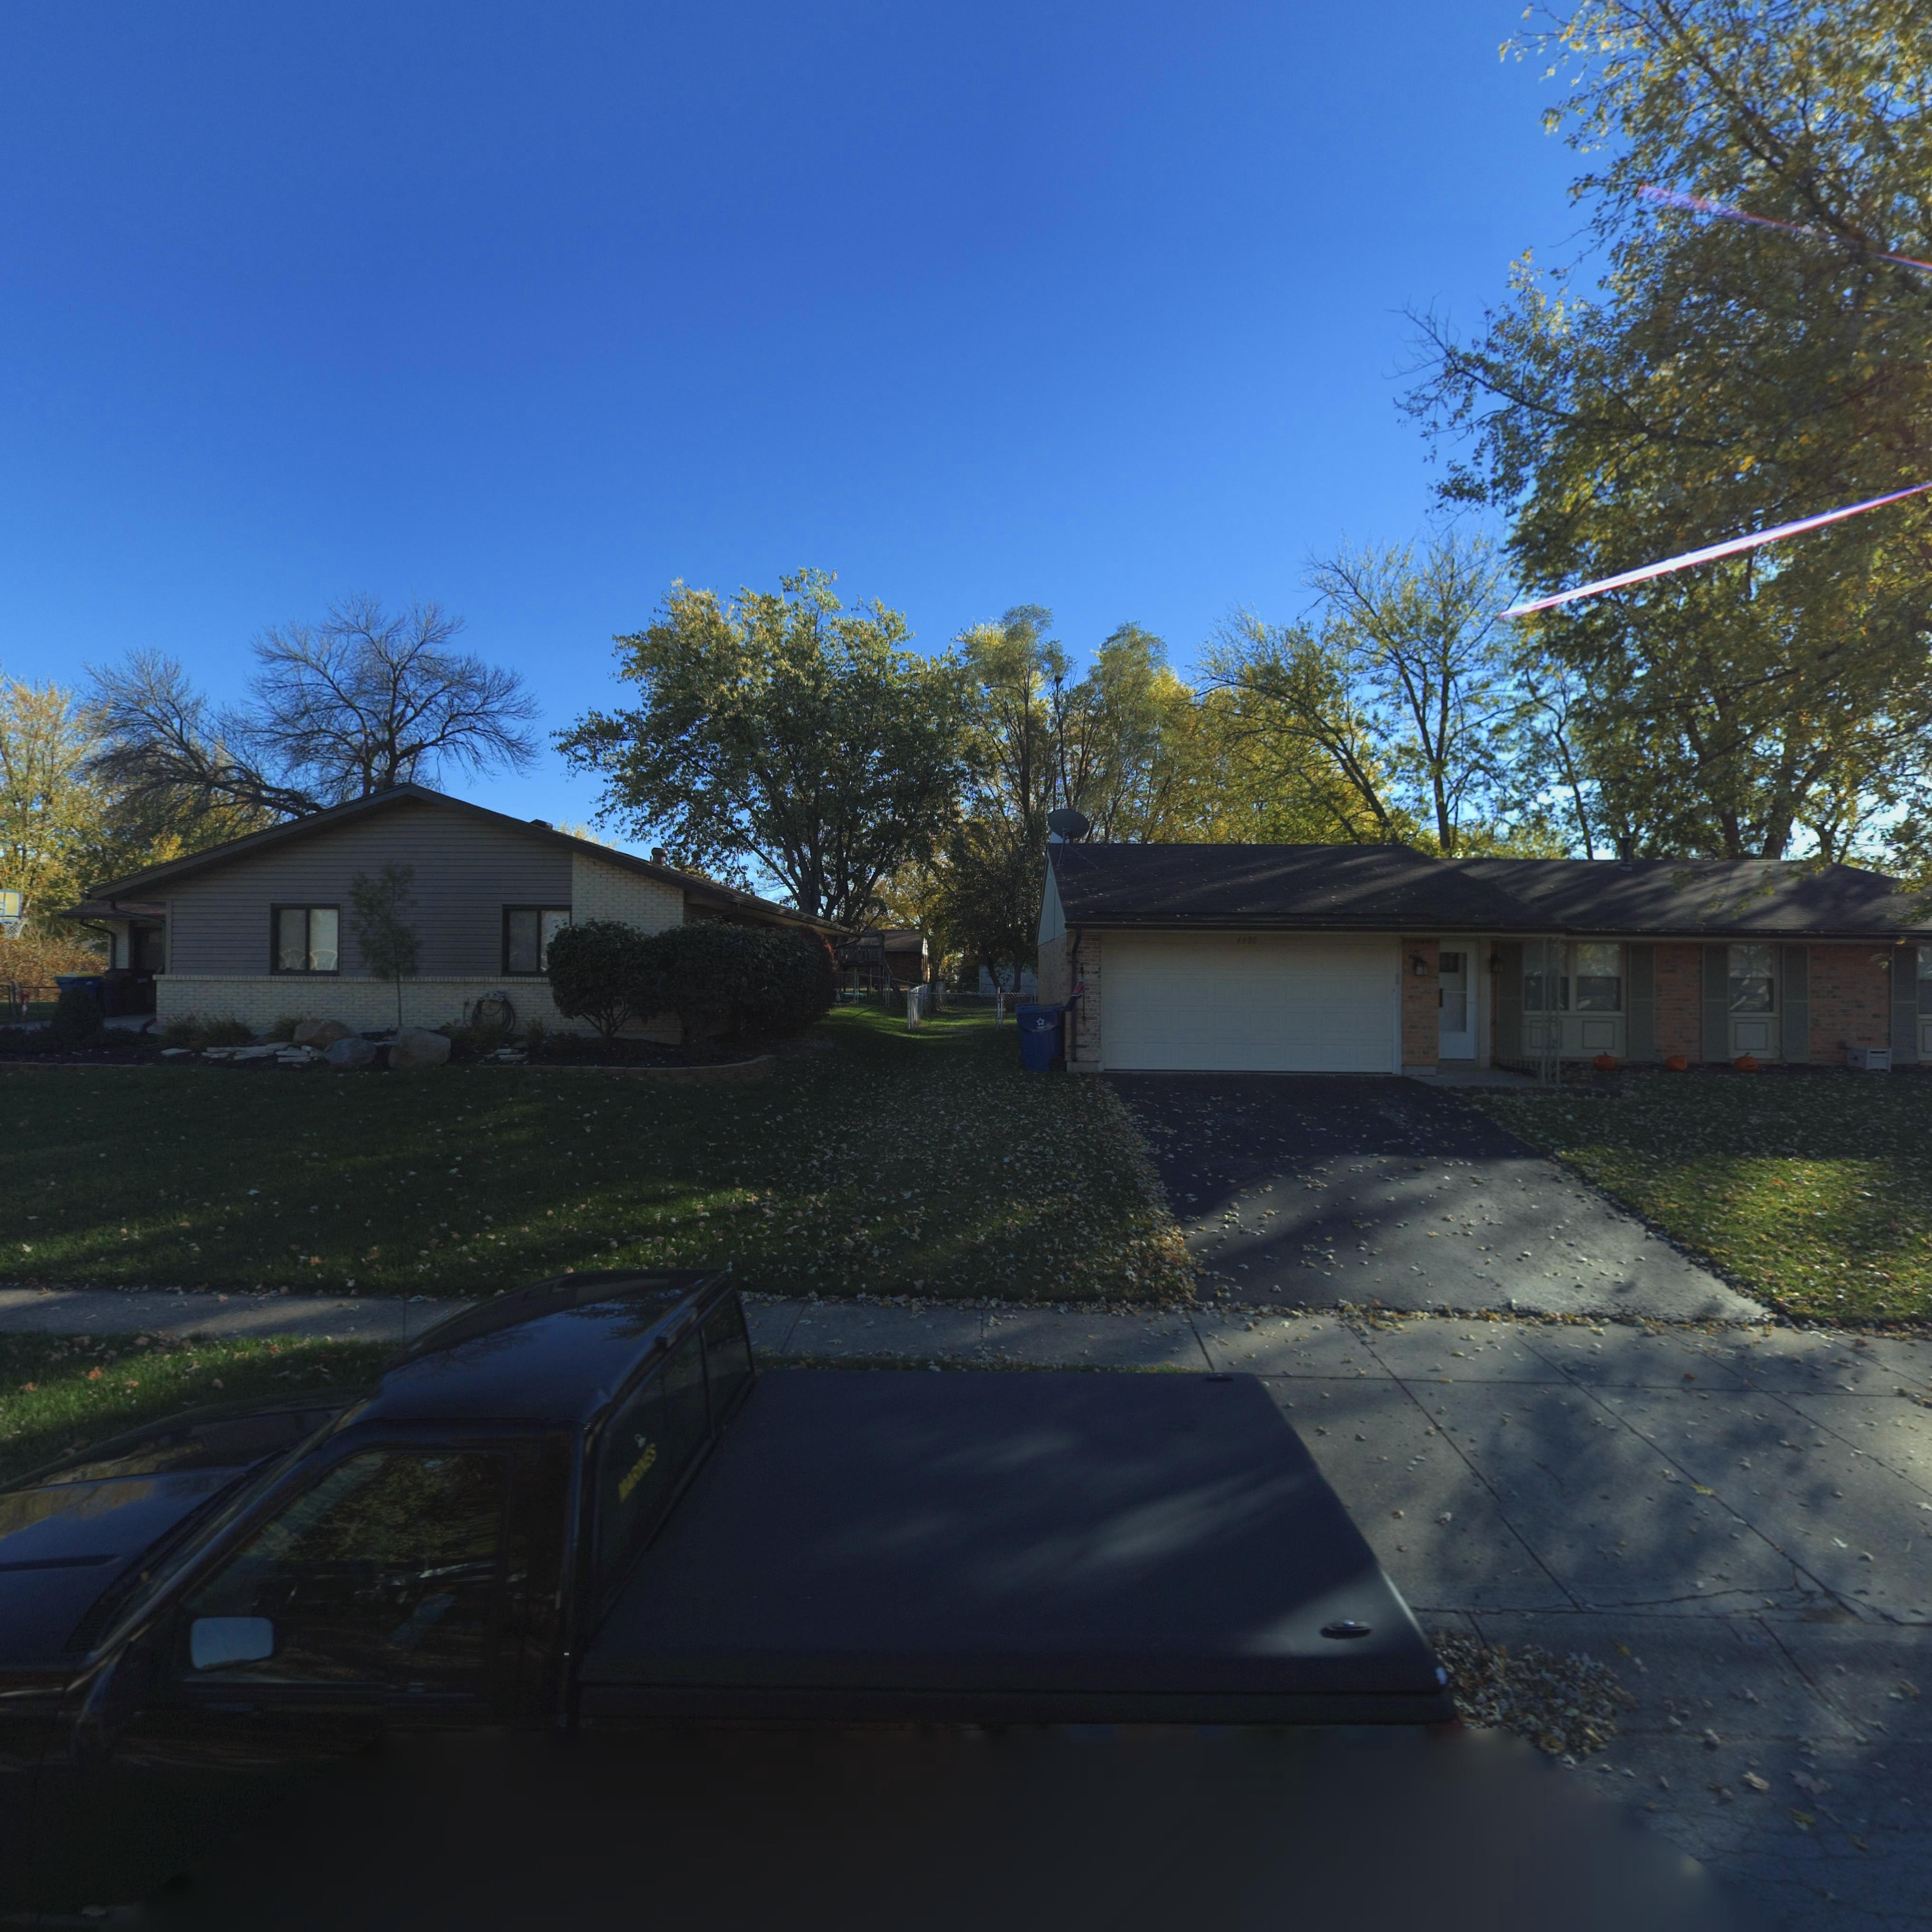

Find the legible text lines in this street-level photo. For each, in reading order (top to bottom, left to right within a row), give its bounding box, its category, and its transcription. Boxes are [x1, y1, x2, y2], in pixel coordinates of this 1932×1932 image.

[1236, 936, 1257, 944] StreetNumber: 4980